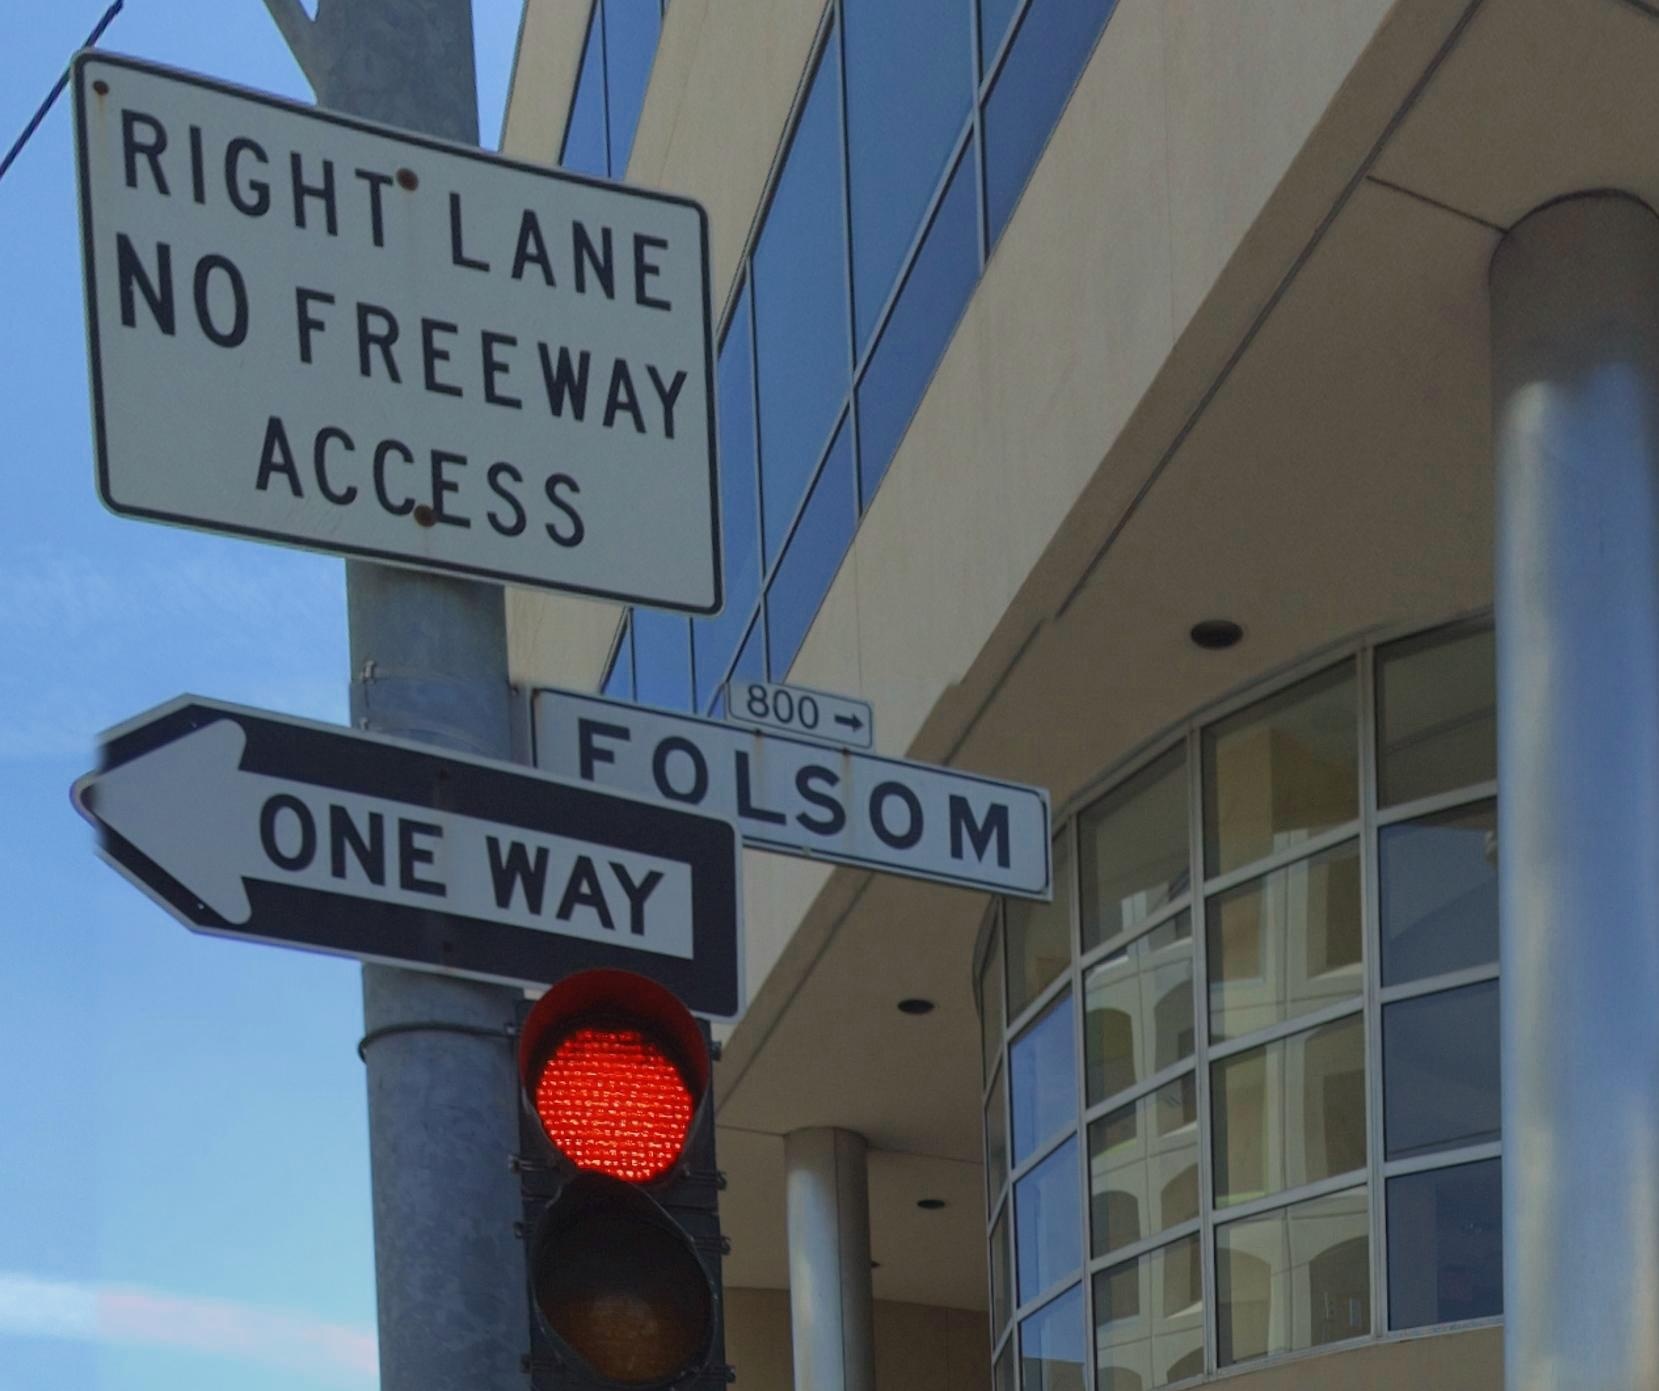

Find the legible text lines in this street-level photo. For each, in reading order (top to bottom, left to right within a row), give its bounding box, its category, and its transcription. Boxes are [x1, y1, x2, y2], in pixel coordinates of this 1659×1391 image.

[111, 100, 678, 318] None: RIGHT LANE
[108, 223, 698, 446] None: NO FREEWAY
[245, 410, 591, 552] None: ACCESS
[257, 788, 671, 939] None: ONE WAY
[576, 711, 1016, 874] StreetName: FOLSOM
[744, 679, 872, 745] StreetNumberRange: 800->